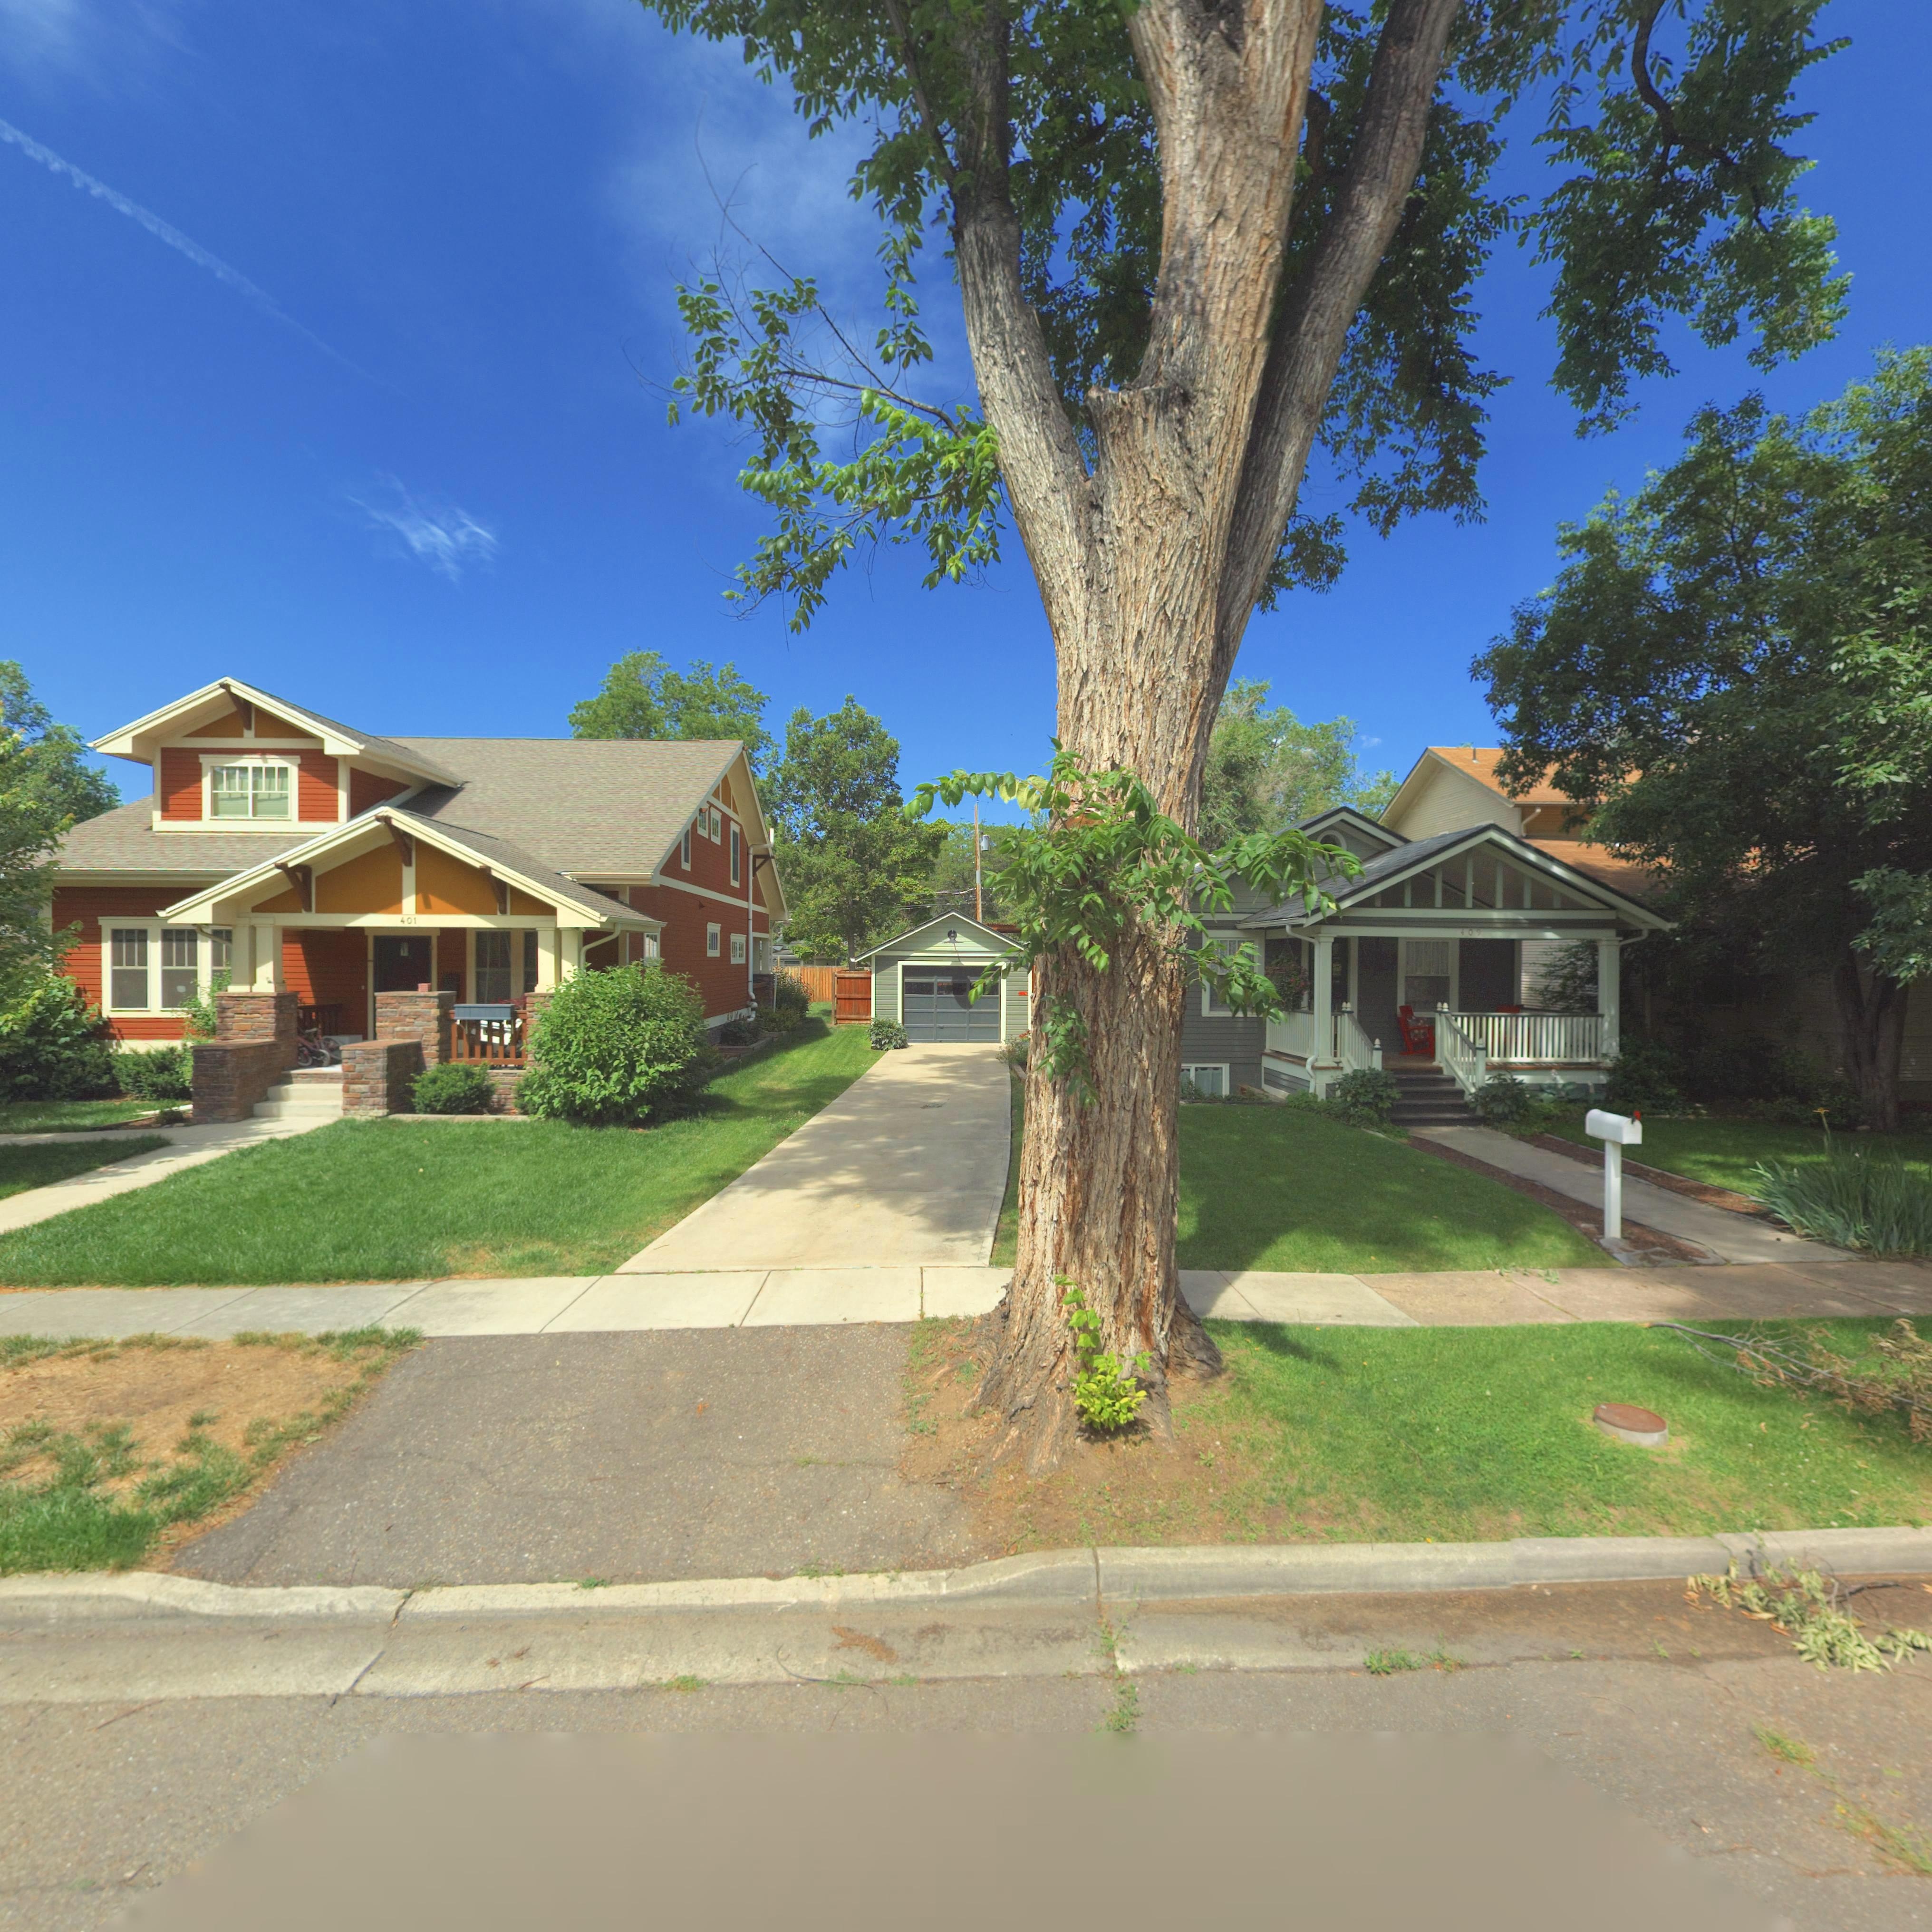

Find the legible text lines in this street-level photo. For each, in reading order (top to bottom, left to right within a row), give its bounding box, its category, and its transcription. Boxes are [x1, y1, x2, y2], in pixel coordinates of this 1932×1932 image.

[400, 916, 417, 925] StreetNumber: 401
[1460, 928, 1482, 936] StreetNumber: 409